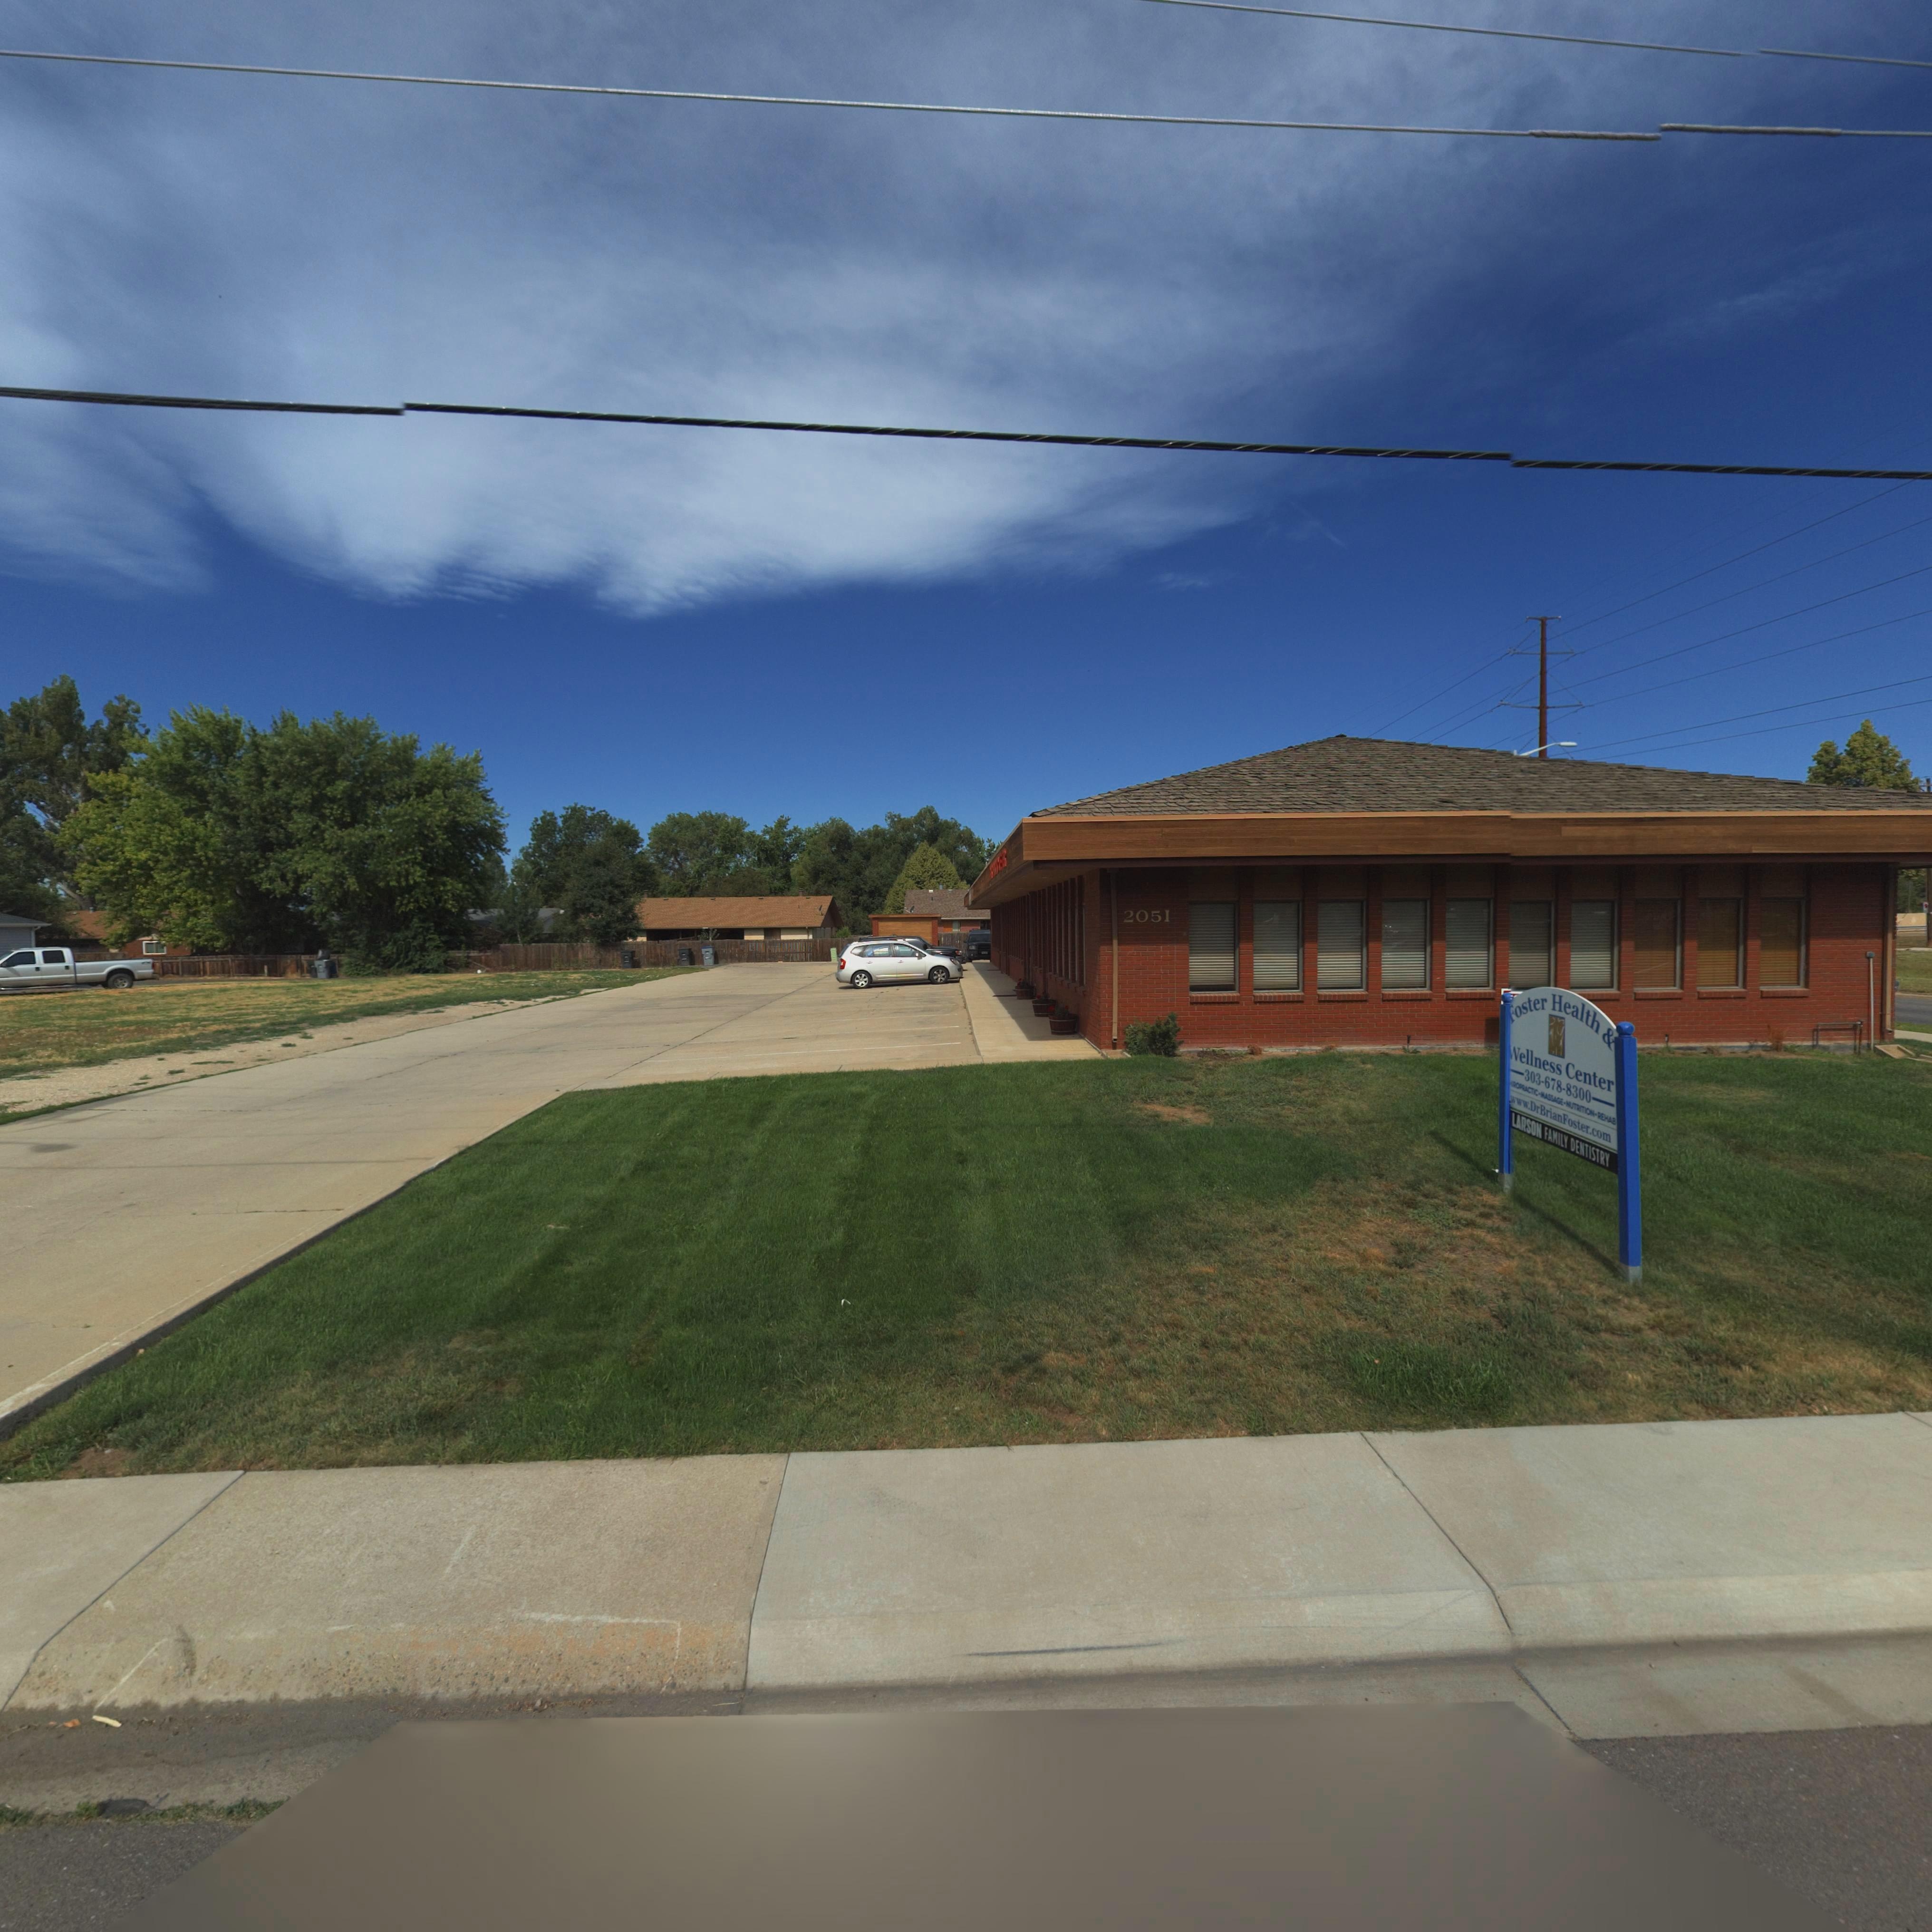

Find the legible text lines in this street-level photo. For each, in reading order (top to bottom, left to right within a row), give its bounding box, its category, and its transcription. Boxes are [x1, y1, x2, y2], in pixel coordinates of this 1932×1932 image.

[1122, 909, 1170, 923] StreetNumber: 2051
[1508, 993, 1615, 1053] BusinessName: Foster Health &
[1509, 1044, 1614, 1093] BusinessName: Wellness Center
[1512, 1111, 1610, 1168] BusinessName: LARSON FAMILY DENTISTRY